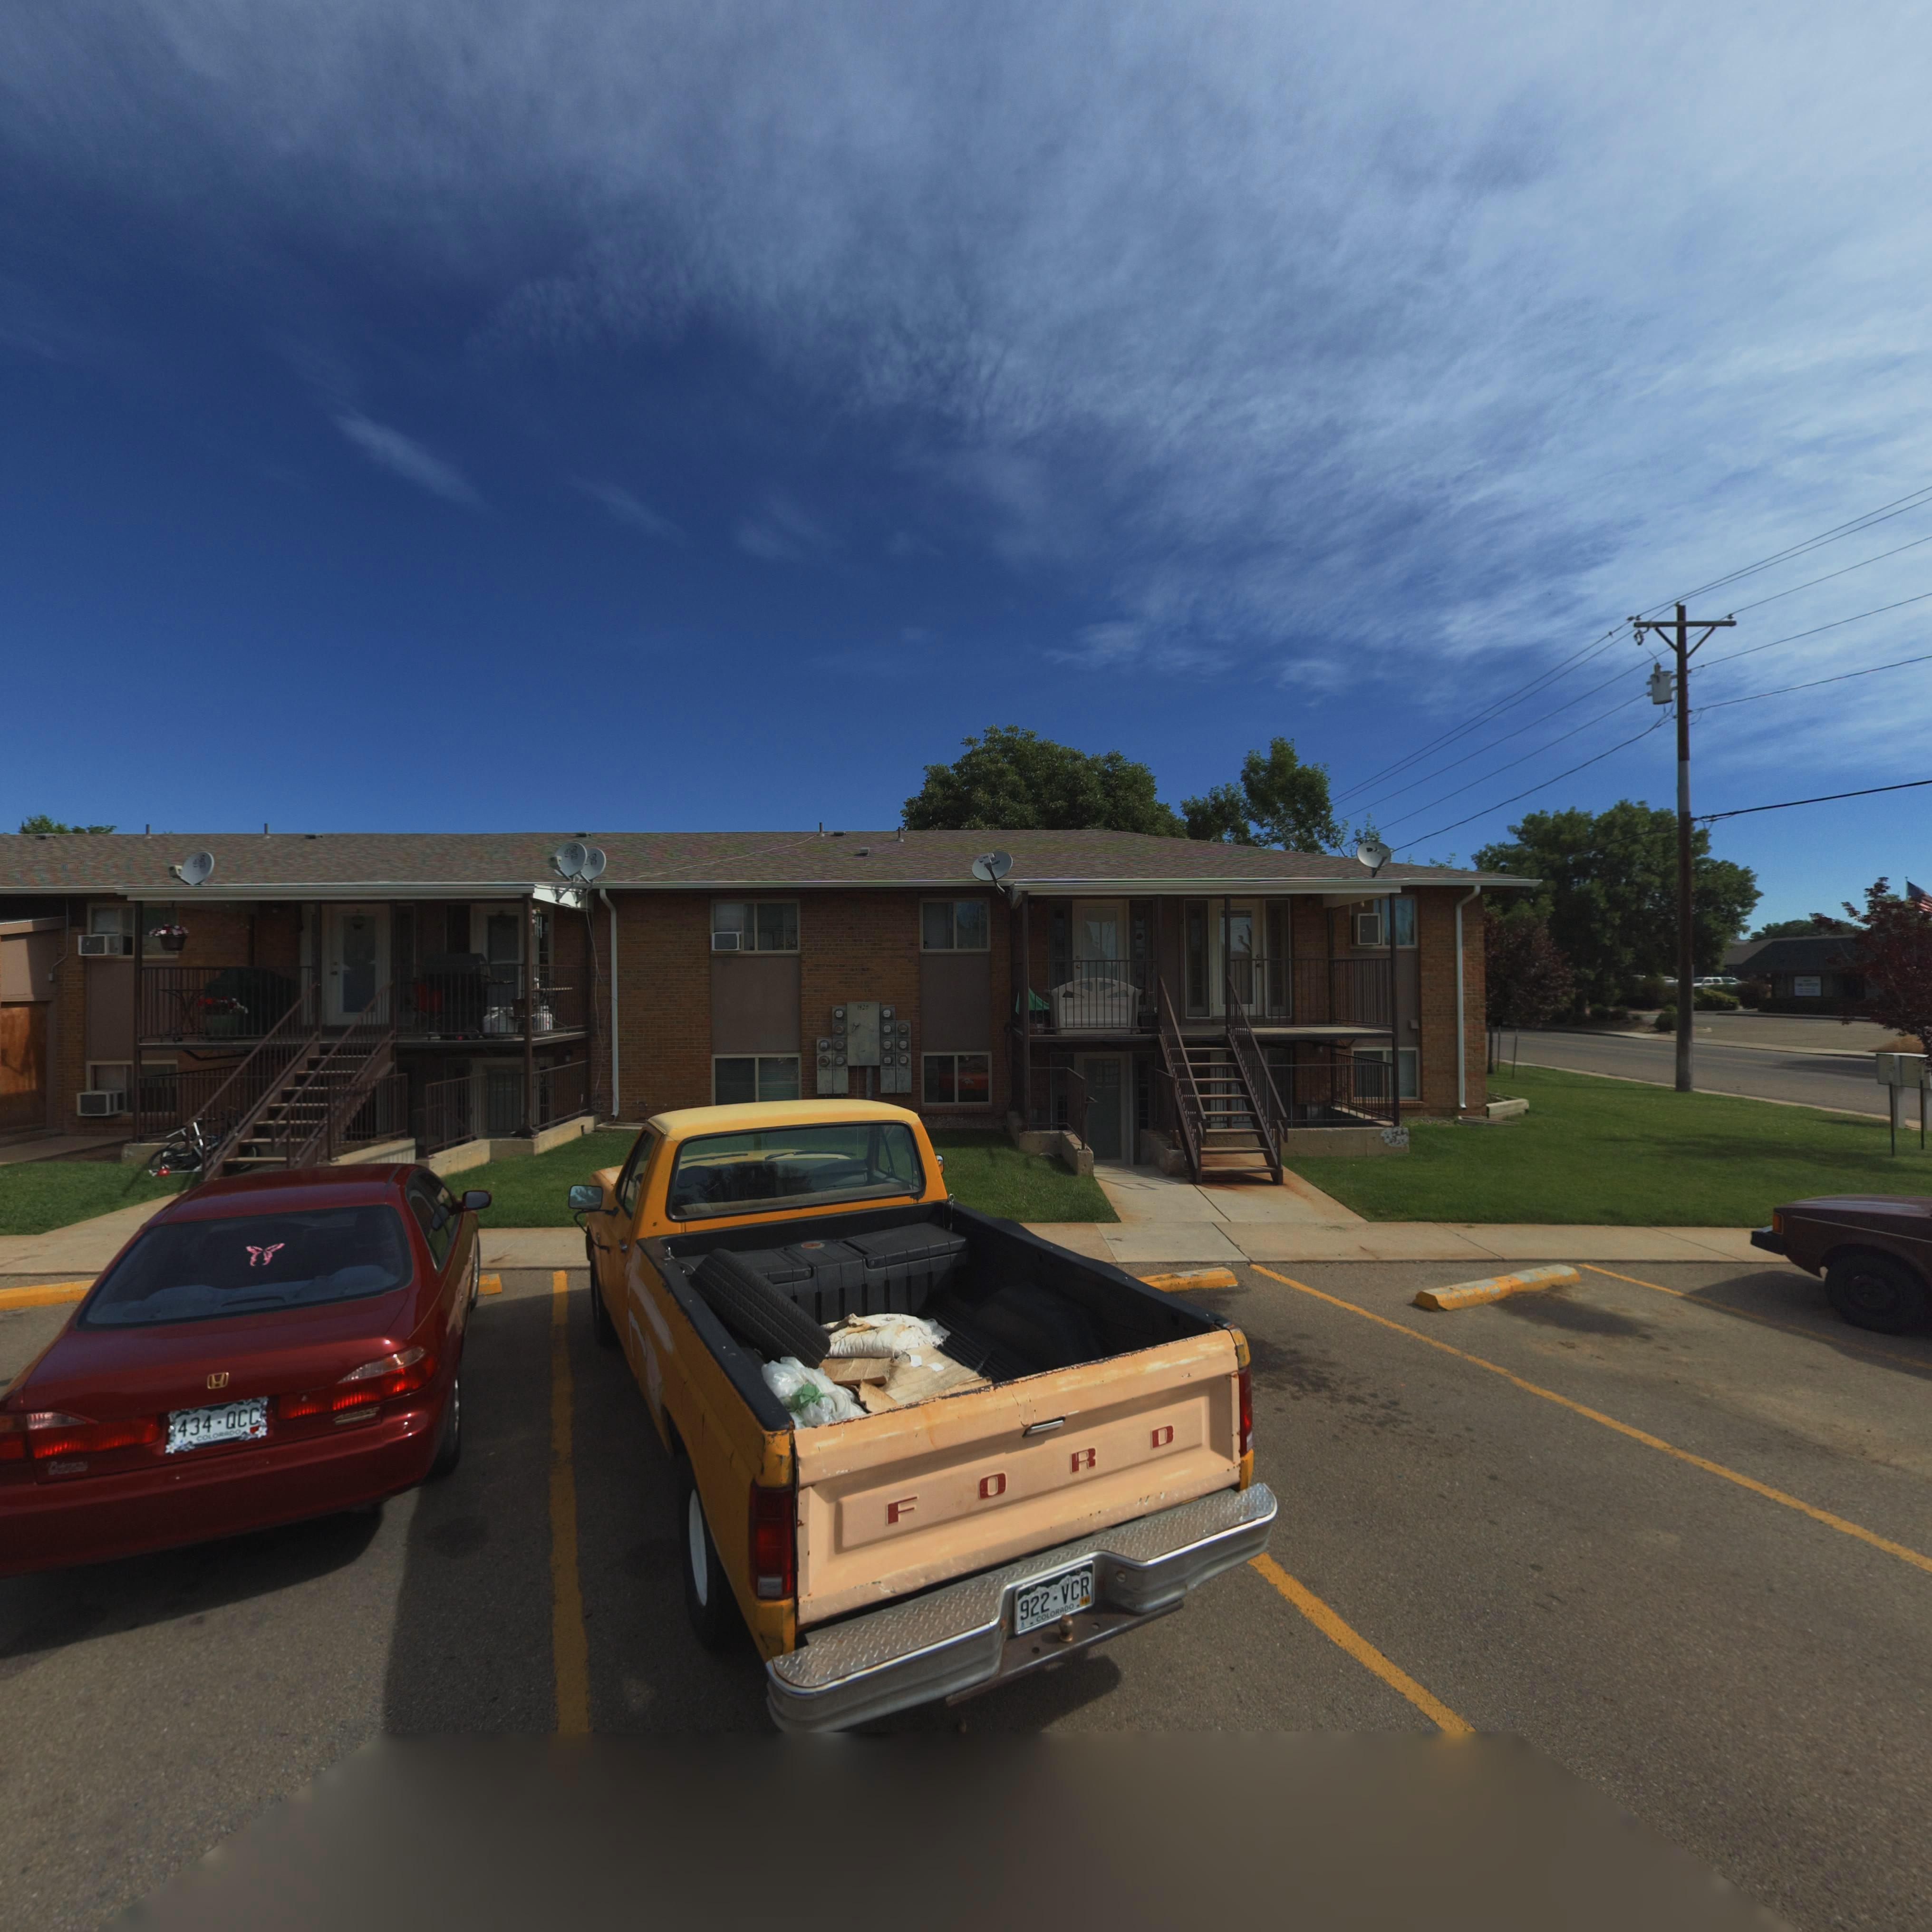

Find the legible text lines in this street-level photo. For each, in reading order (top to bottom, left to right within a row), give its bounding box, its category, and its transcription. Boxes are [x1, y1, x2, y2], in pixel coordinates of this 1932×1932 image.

[1179, 918, 1184, 924] StreetNumber: 2
[857, 1004, 869, 1010] StreetNumber: 1925